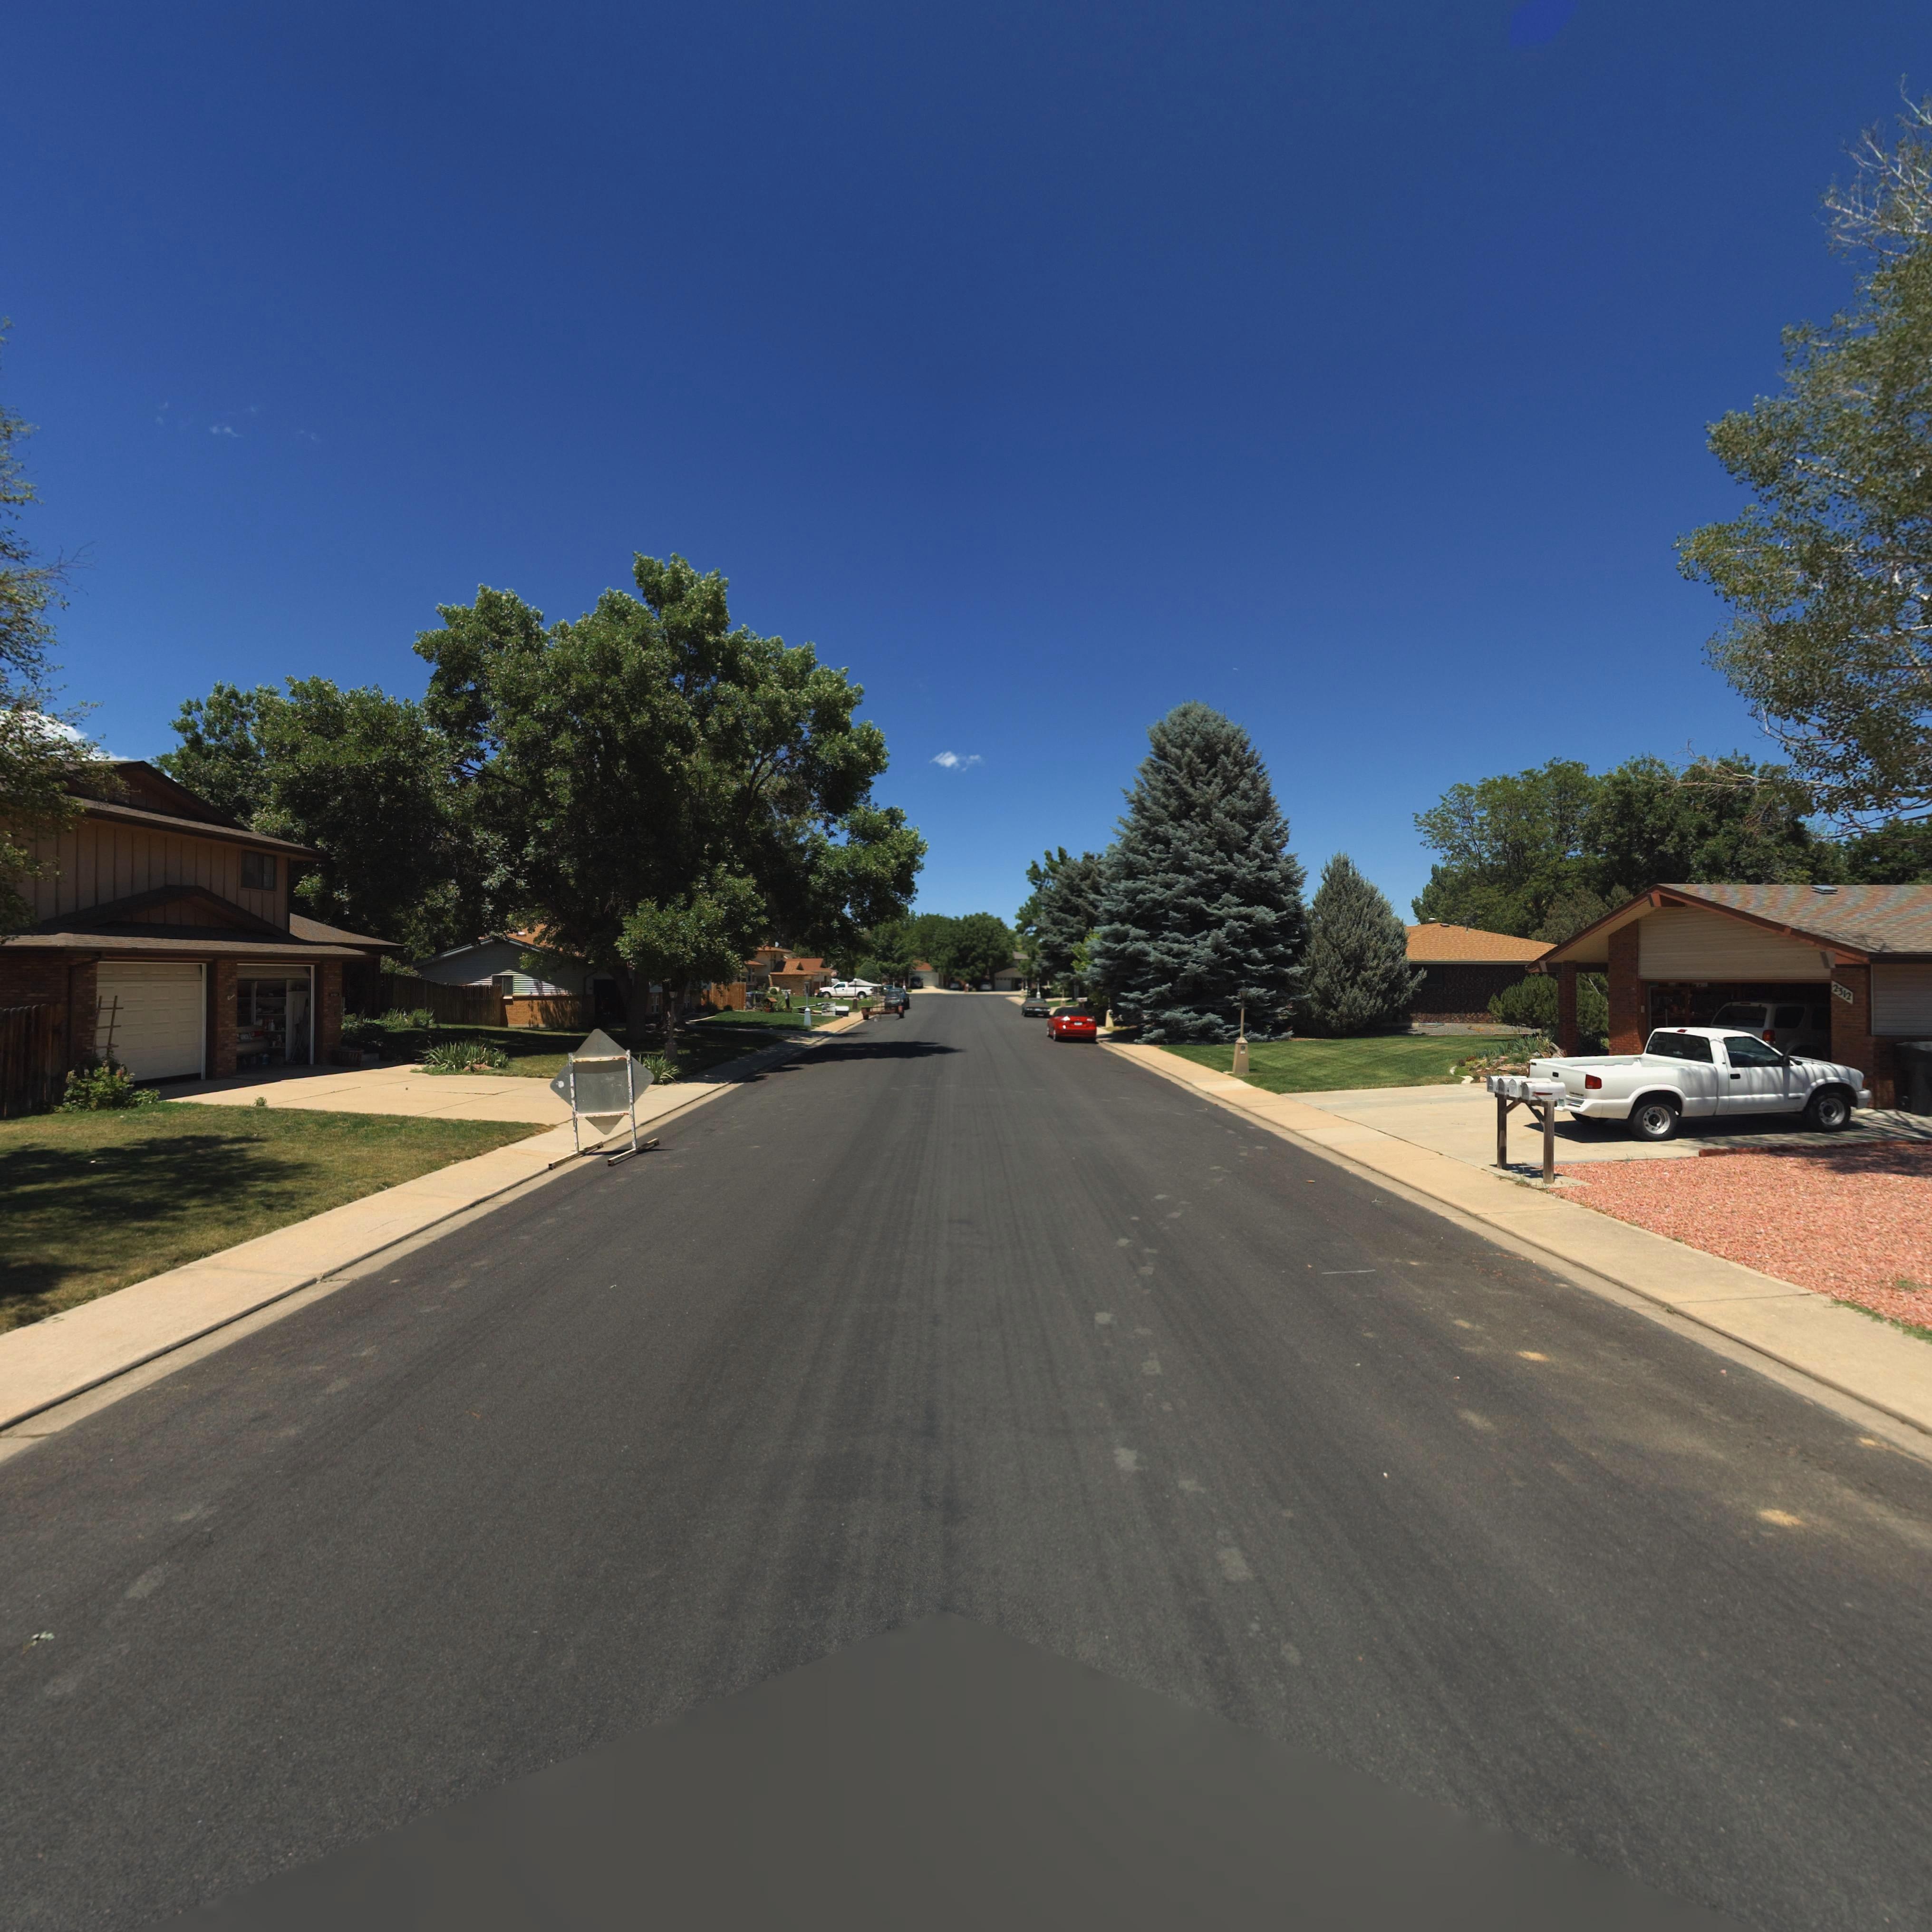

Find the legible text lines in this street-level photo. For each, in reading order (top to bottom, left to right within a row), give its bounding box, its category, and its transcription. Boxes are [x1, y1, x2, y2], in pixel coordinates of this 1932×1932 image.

[1832, 984, 1851, 1000] StreetNumber: 2312